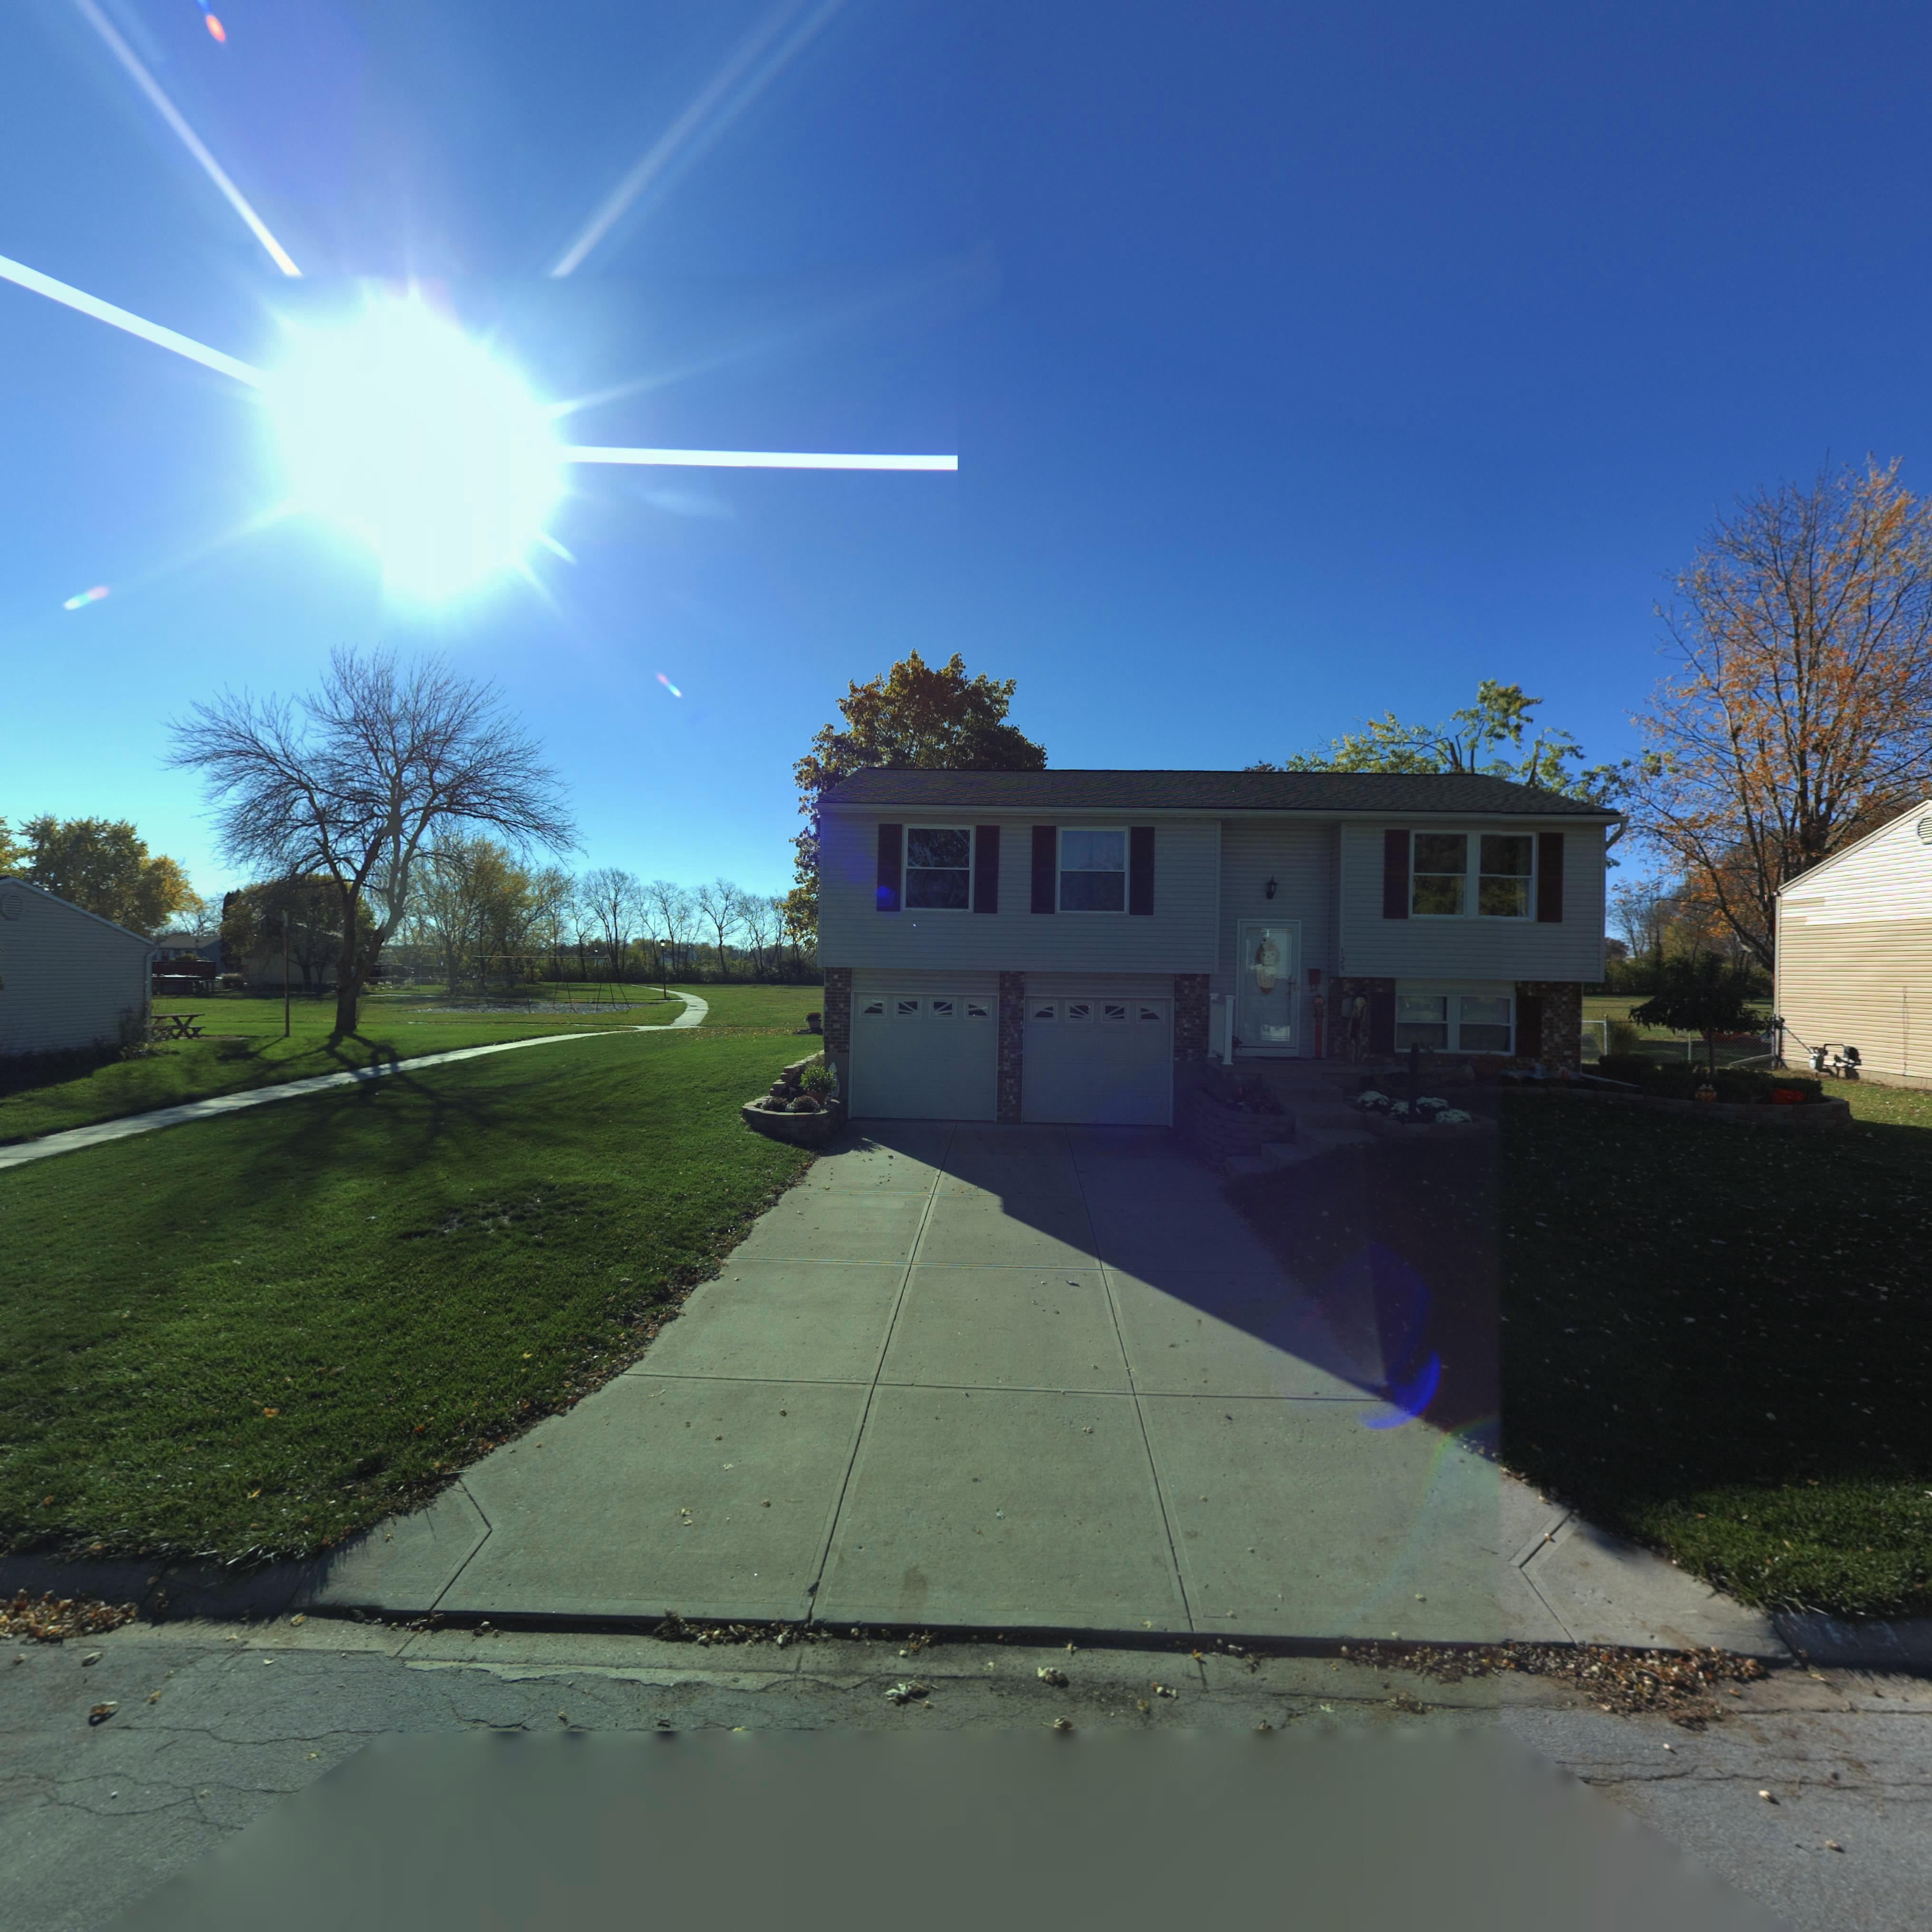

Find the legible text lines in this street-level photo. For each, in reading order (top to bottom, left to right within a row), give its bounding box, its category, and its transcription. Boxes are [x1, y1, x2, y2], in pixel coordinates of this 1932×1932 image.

[1340, 947, 1345, 972] StreetNumber: 129